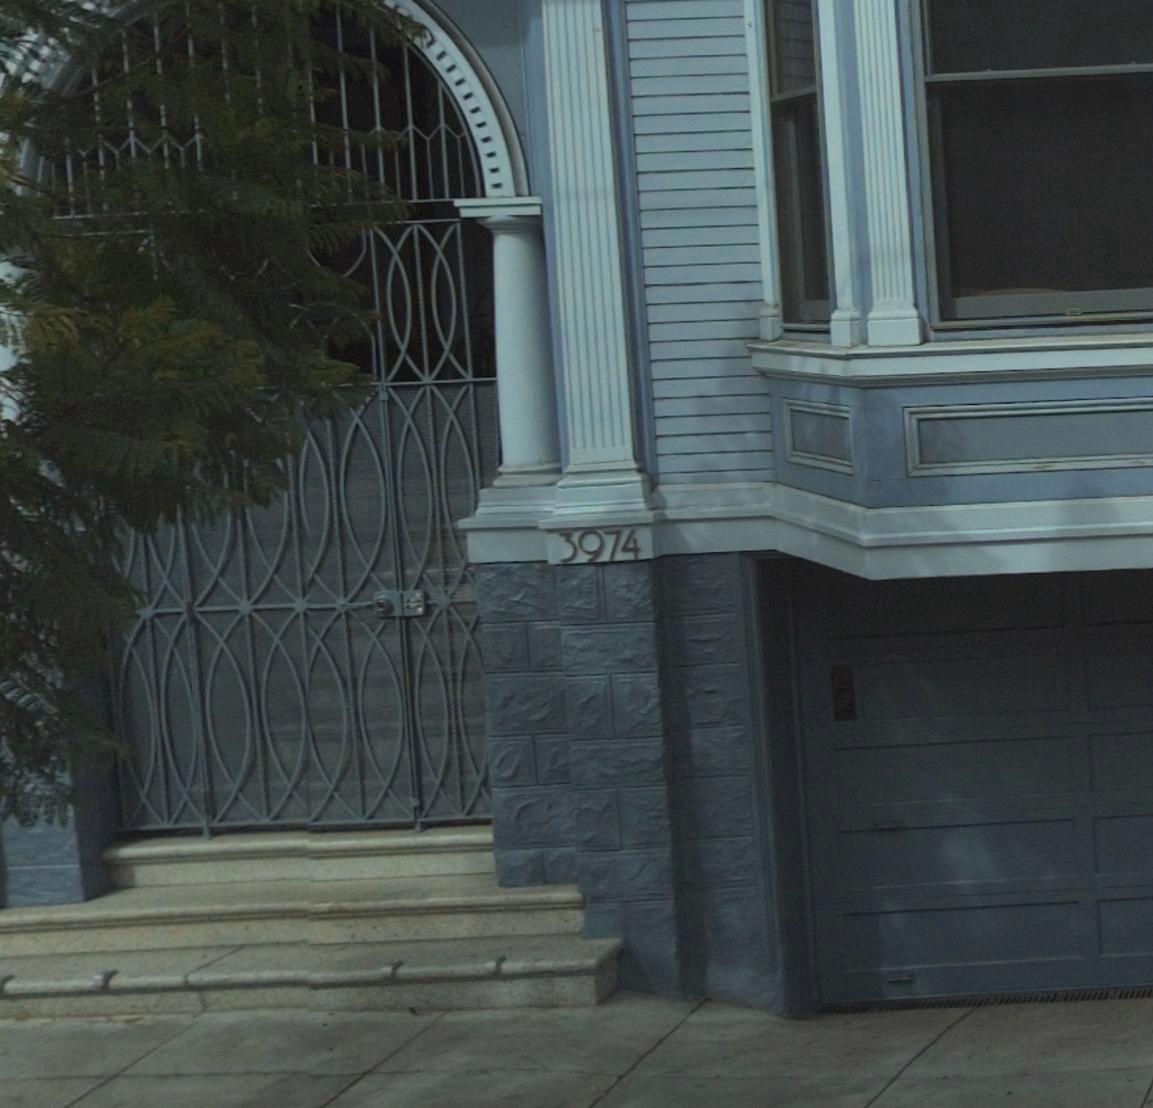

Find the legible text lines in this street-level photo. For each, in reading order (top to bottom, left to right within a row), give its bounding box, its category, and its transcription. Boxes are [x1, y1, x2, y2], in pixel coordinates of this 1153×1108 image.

[556, 526, 645, 564] StreetNumber: 3974